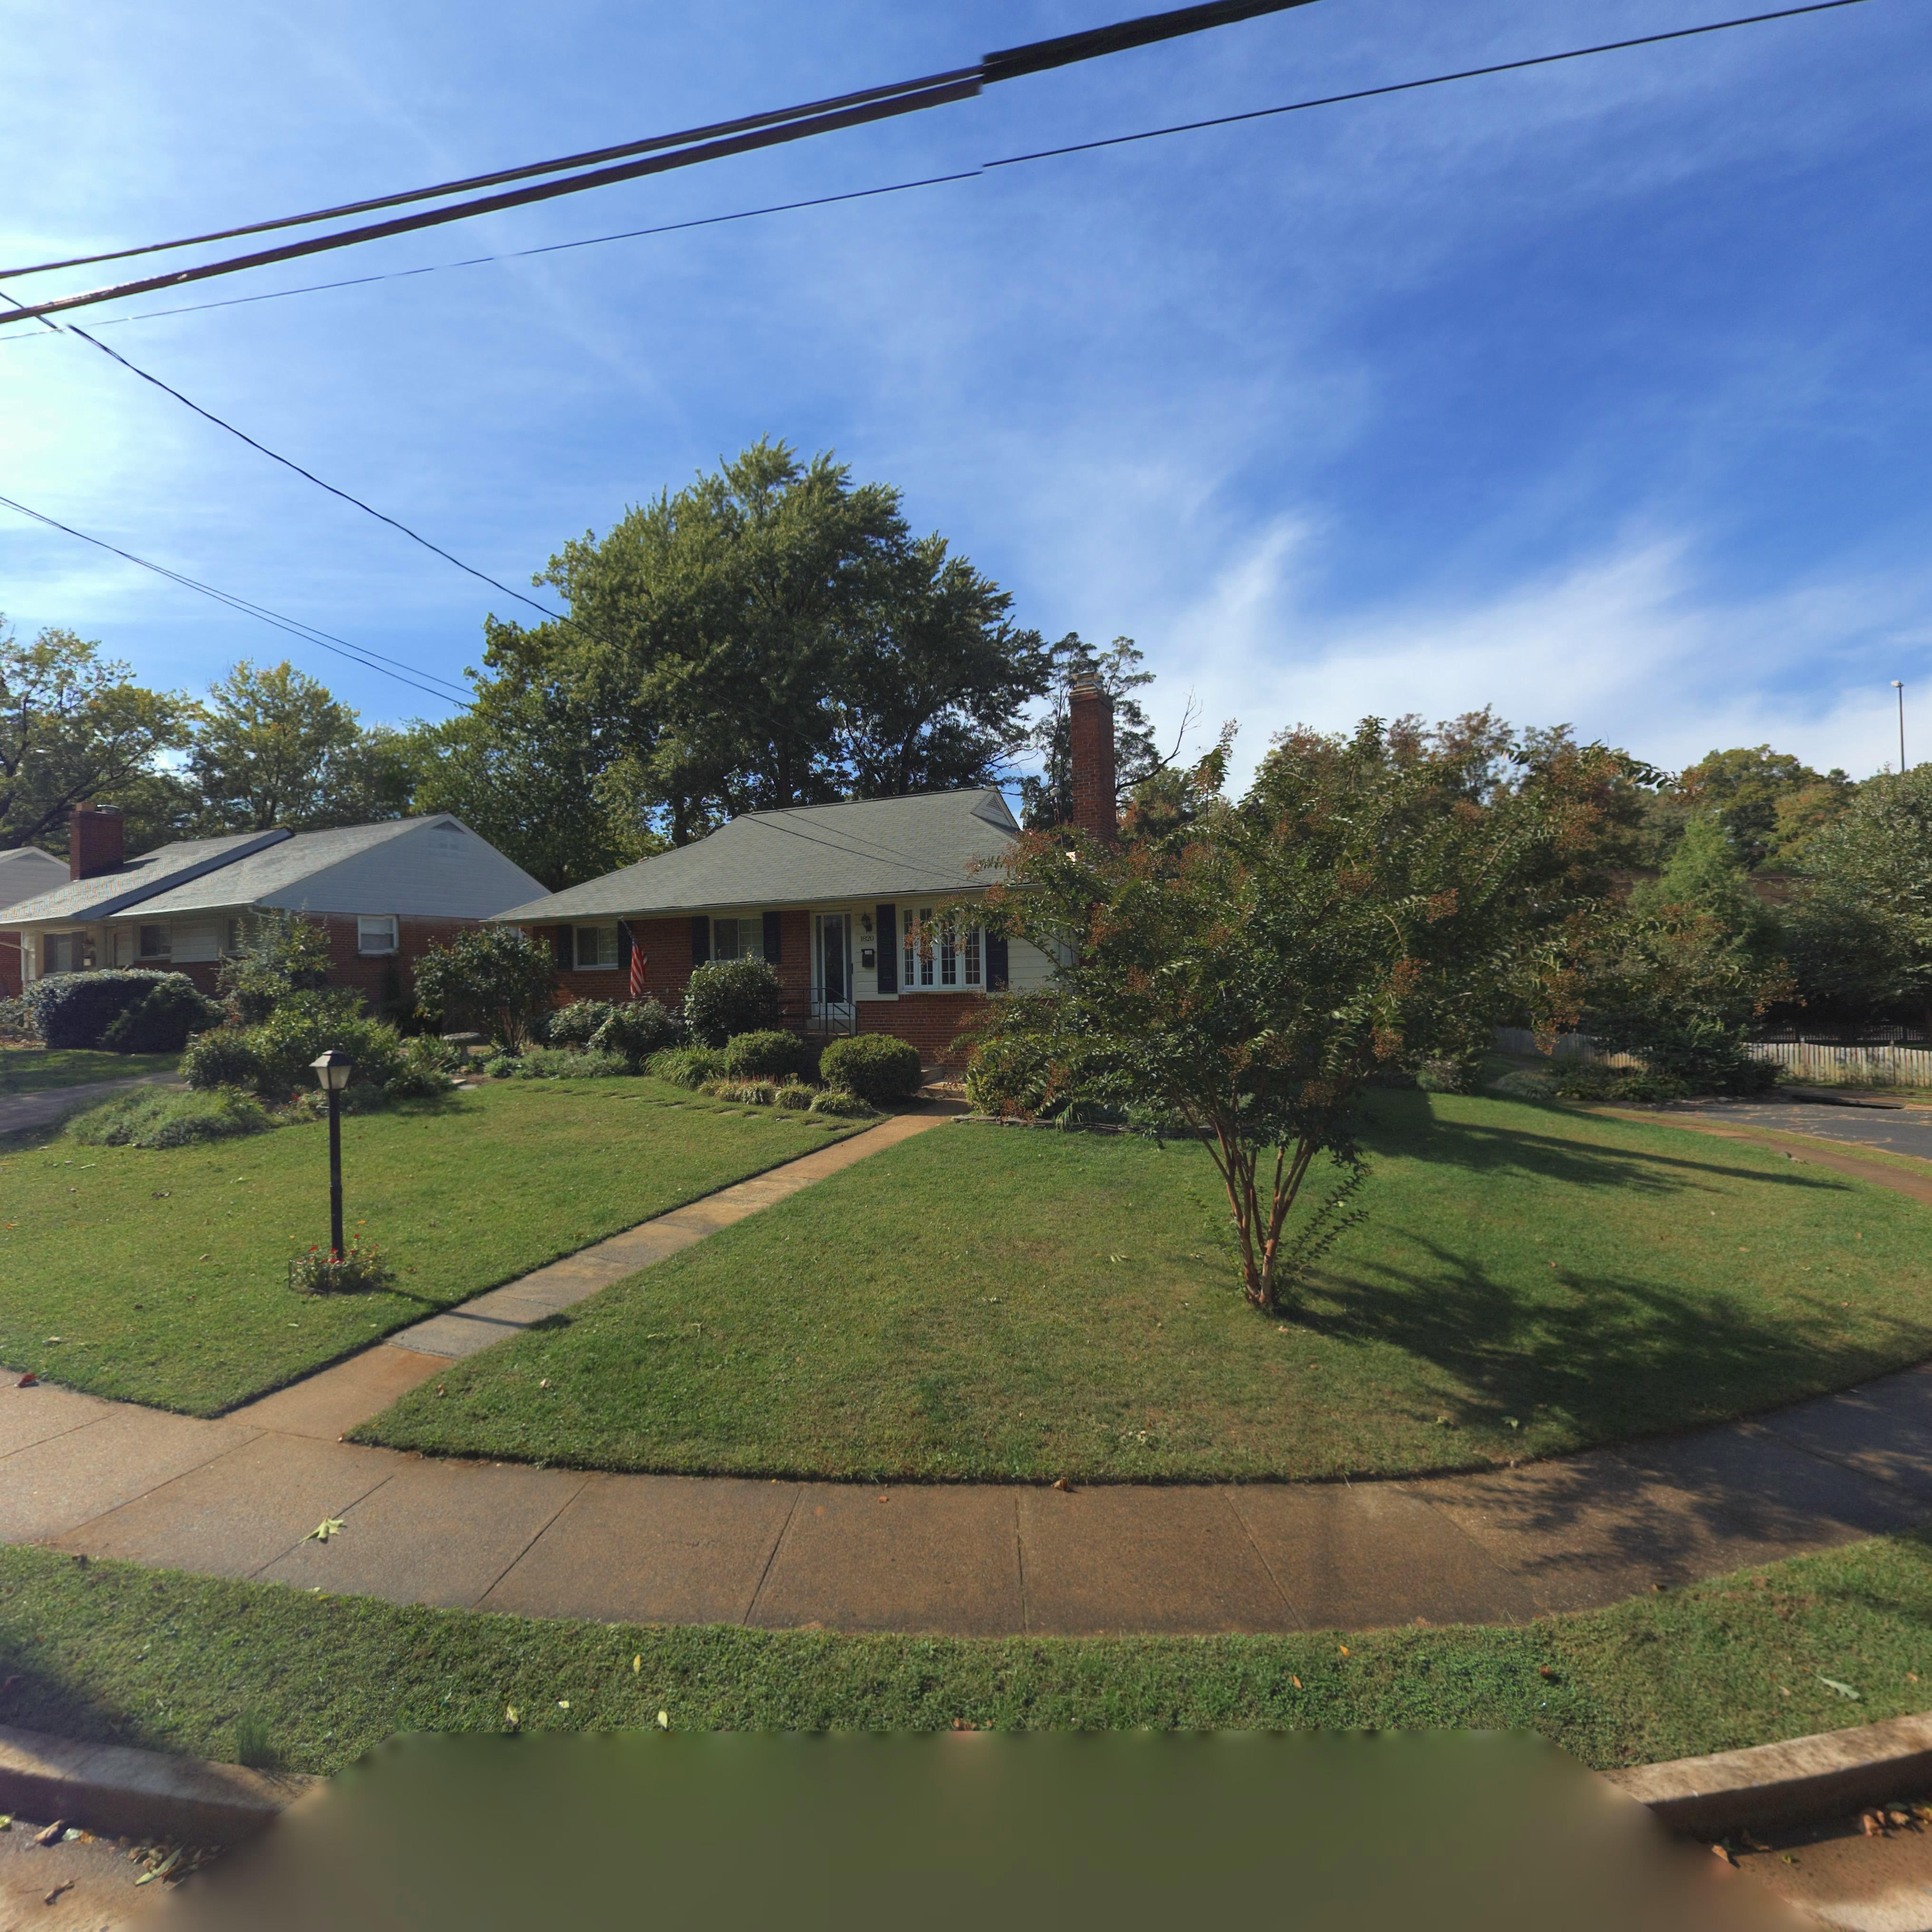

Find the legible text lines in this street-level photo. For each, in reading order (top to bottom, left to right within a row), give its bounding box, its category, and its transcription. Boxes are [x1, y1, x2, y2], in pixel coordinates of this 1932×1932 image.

[860, 935, 874, 942] StreetNumber: 1620